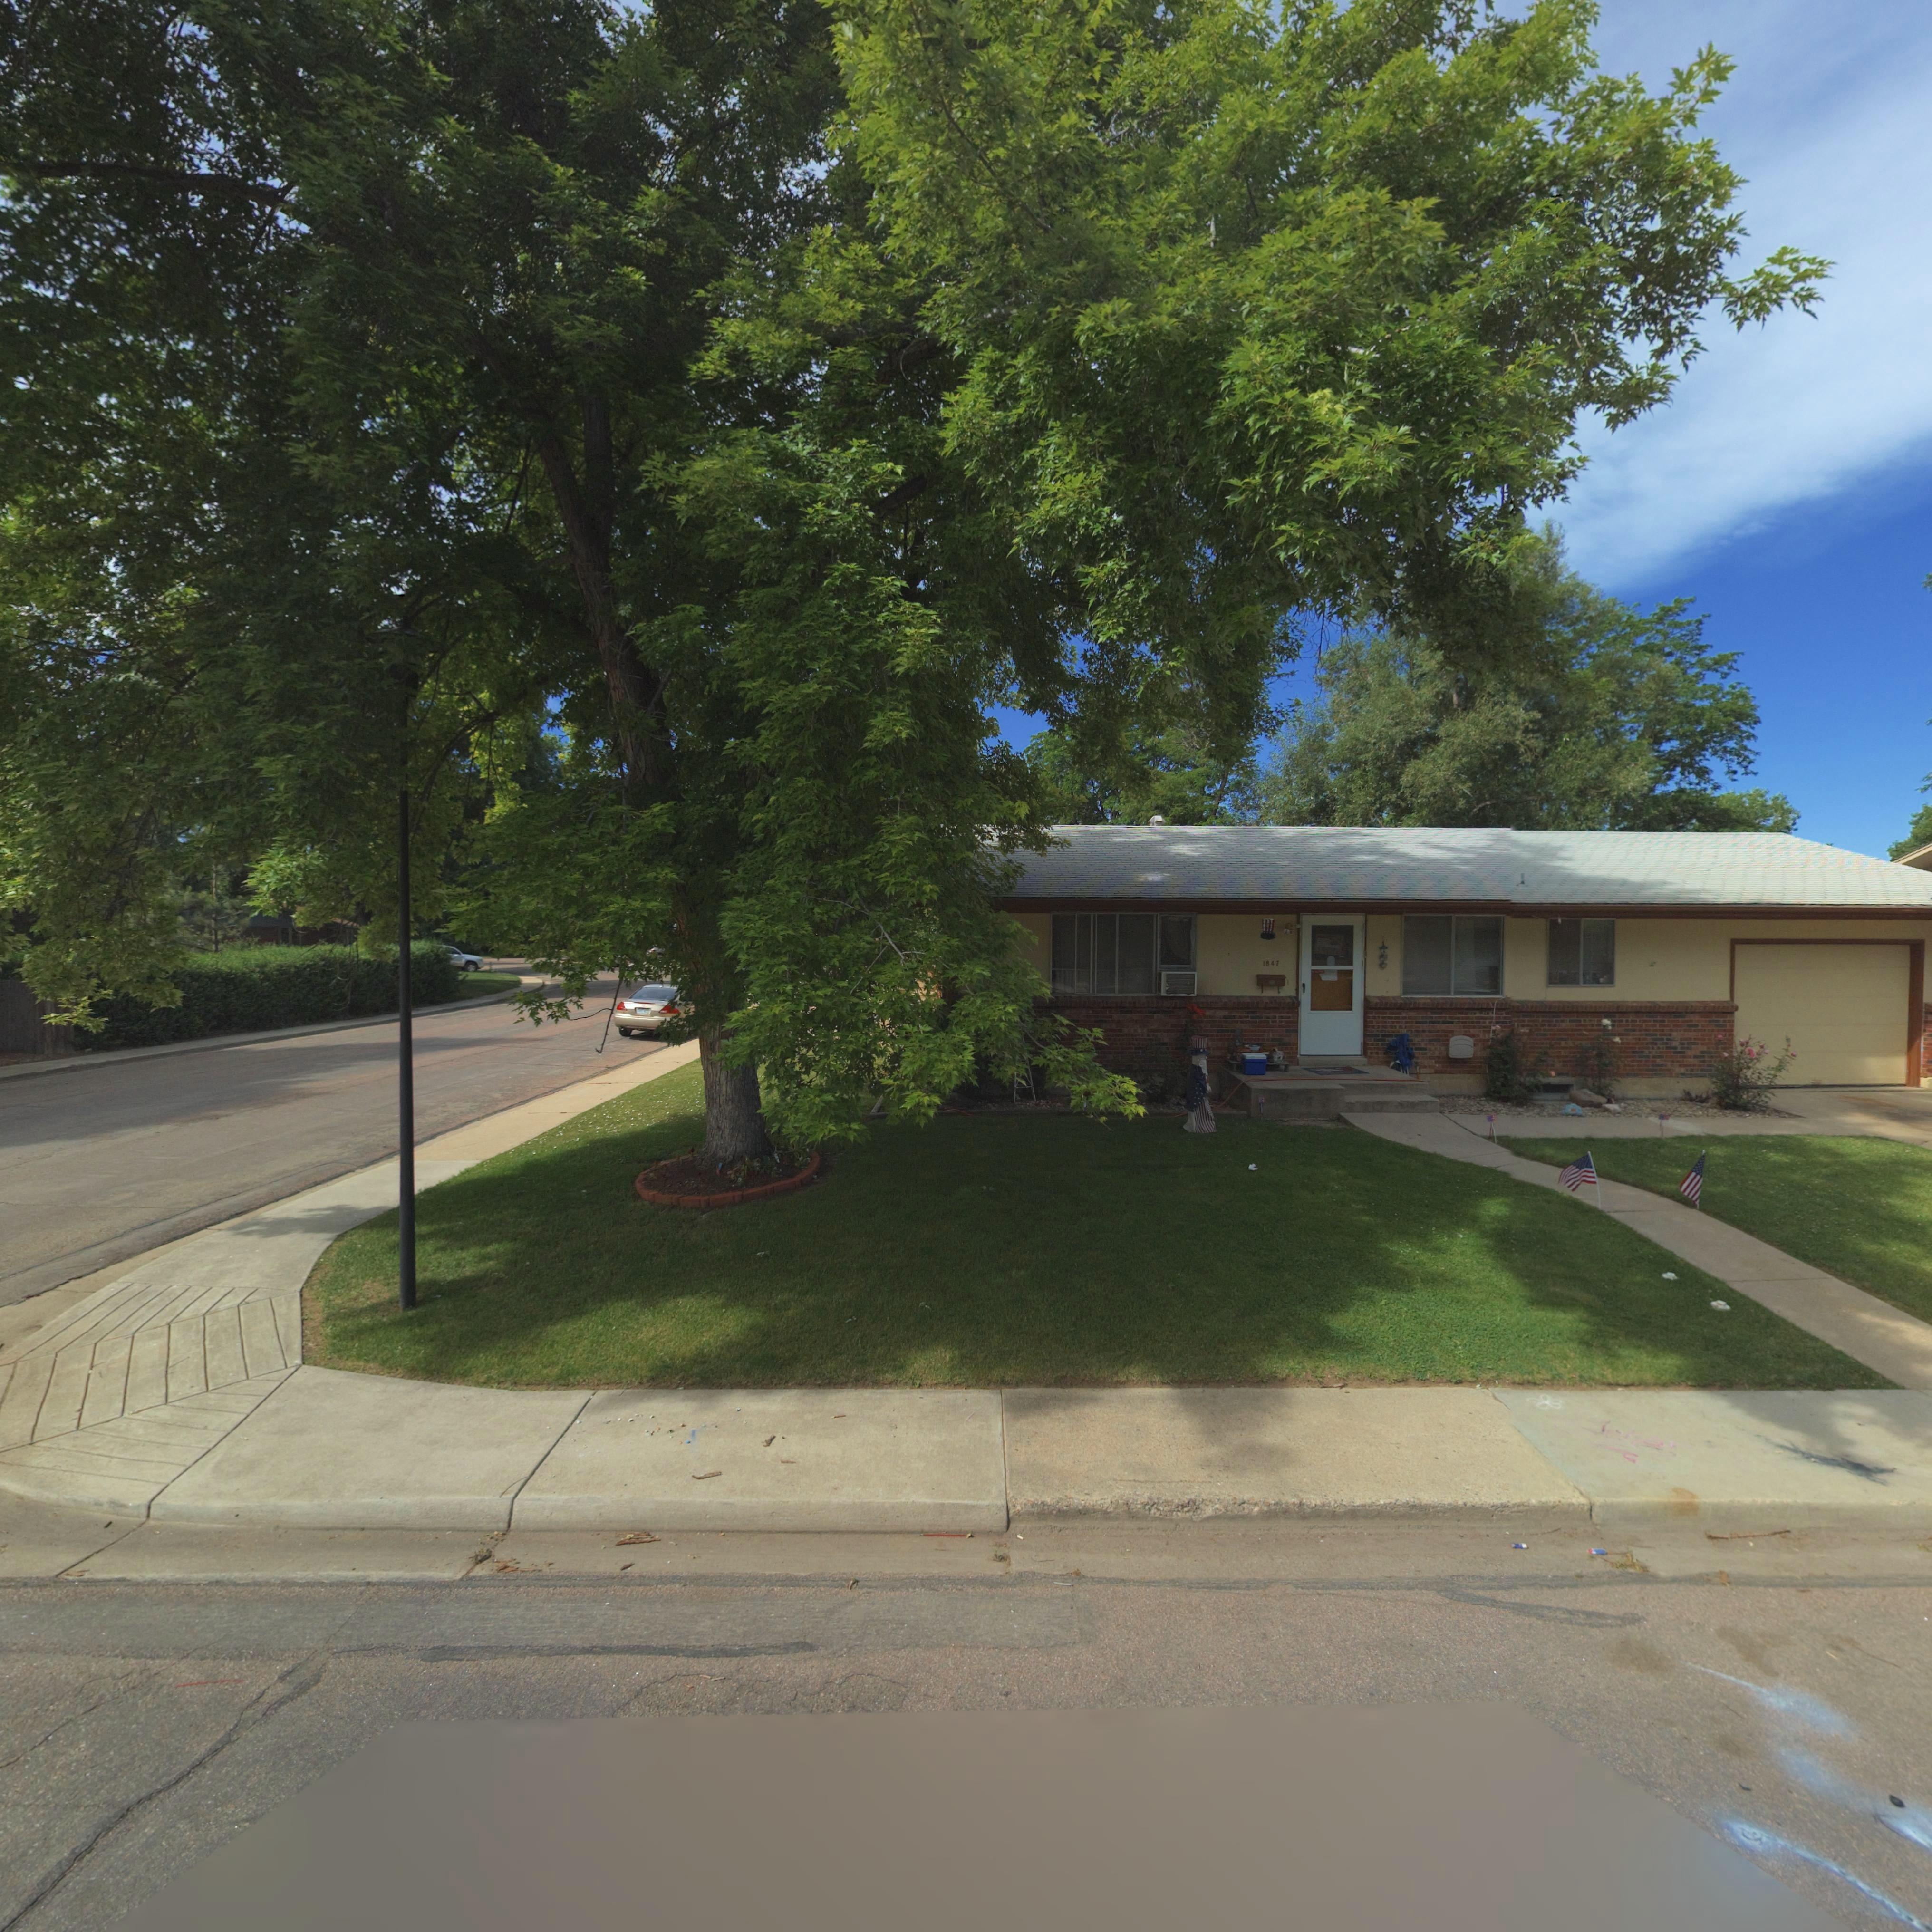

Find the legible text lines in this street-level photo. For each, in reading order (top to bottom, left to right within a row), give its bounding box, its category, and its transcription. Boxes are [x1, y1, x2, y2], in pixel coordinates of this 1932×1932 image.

[1262, 960, 1279, 966] StreetNumber: 1847